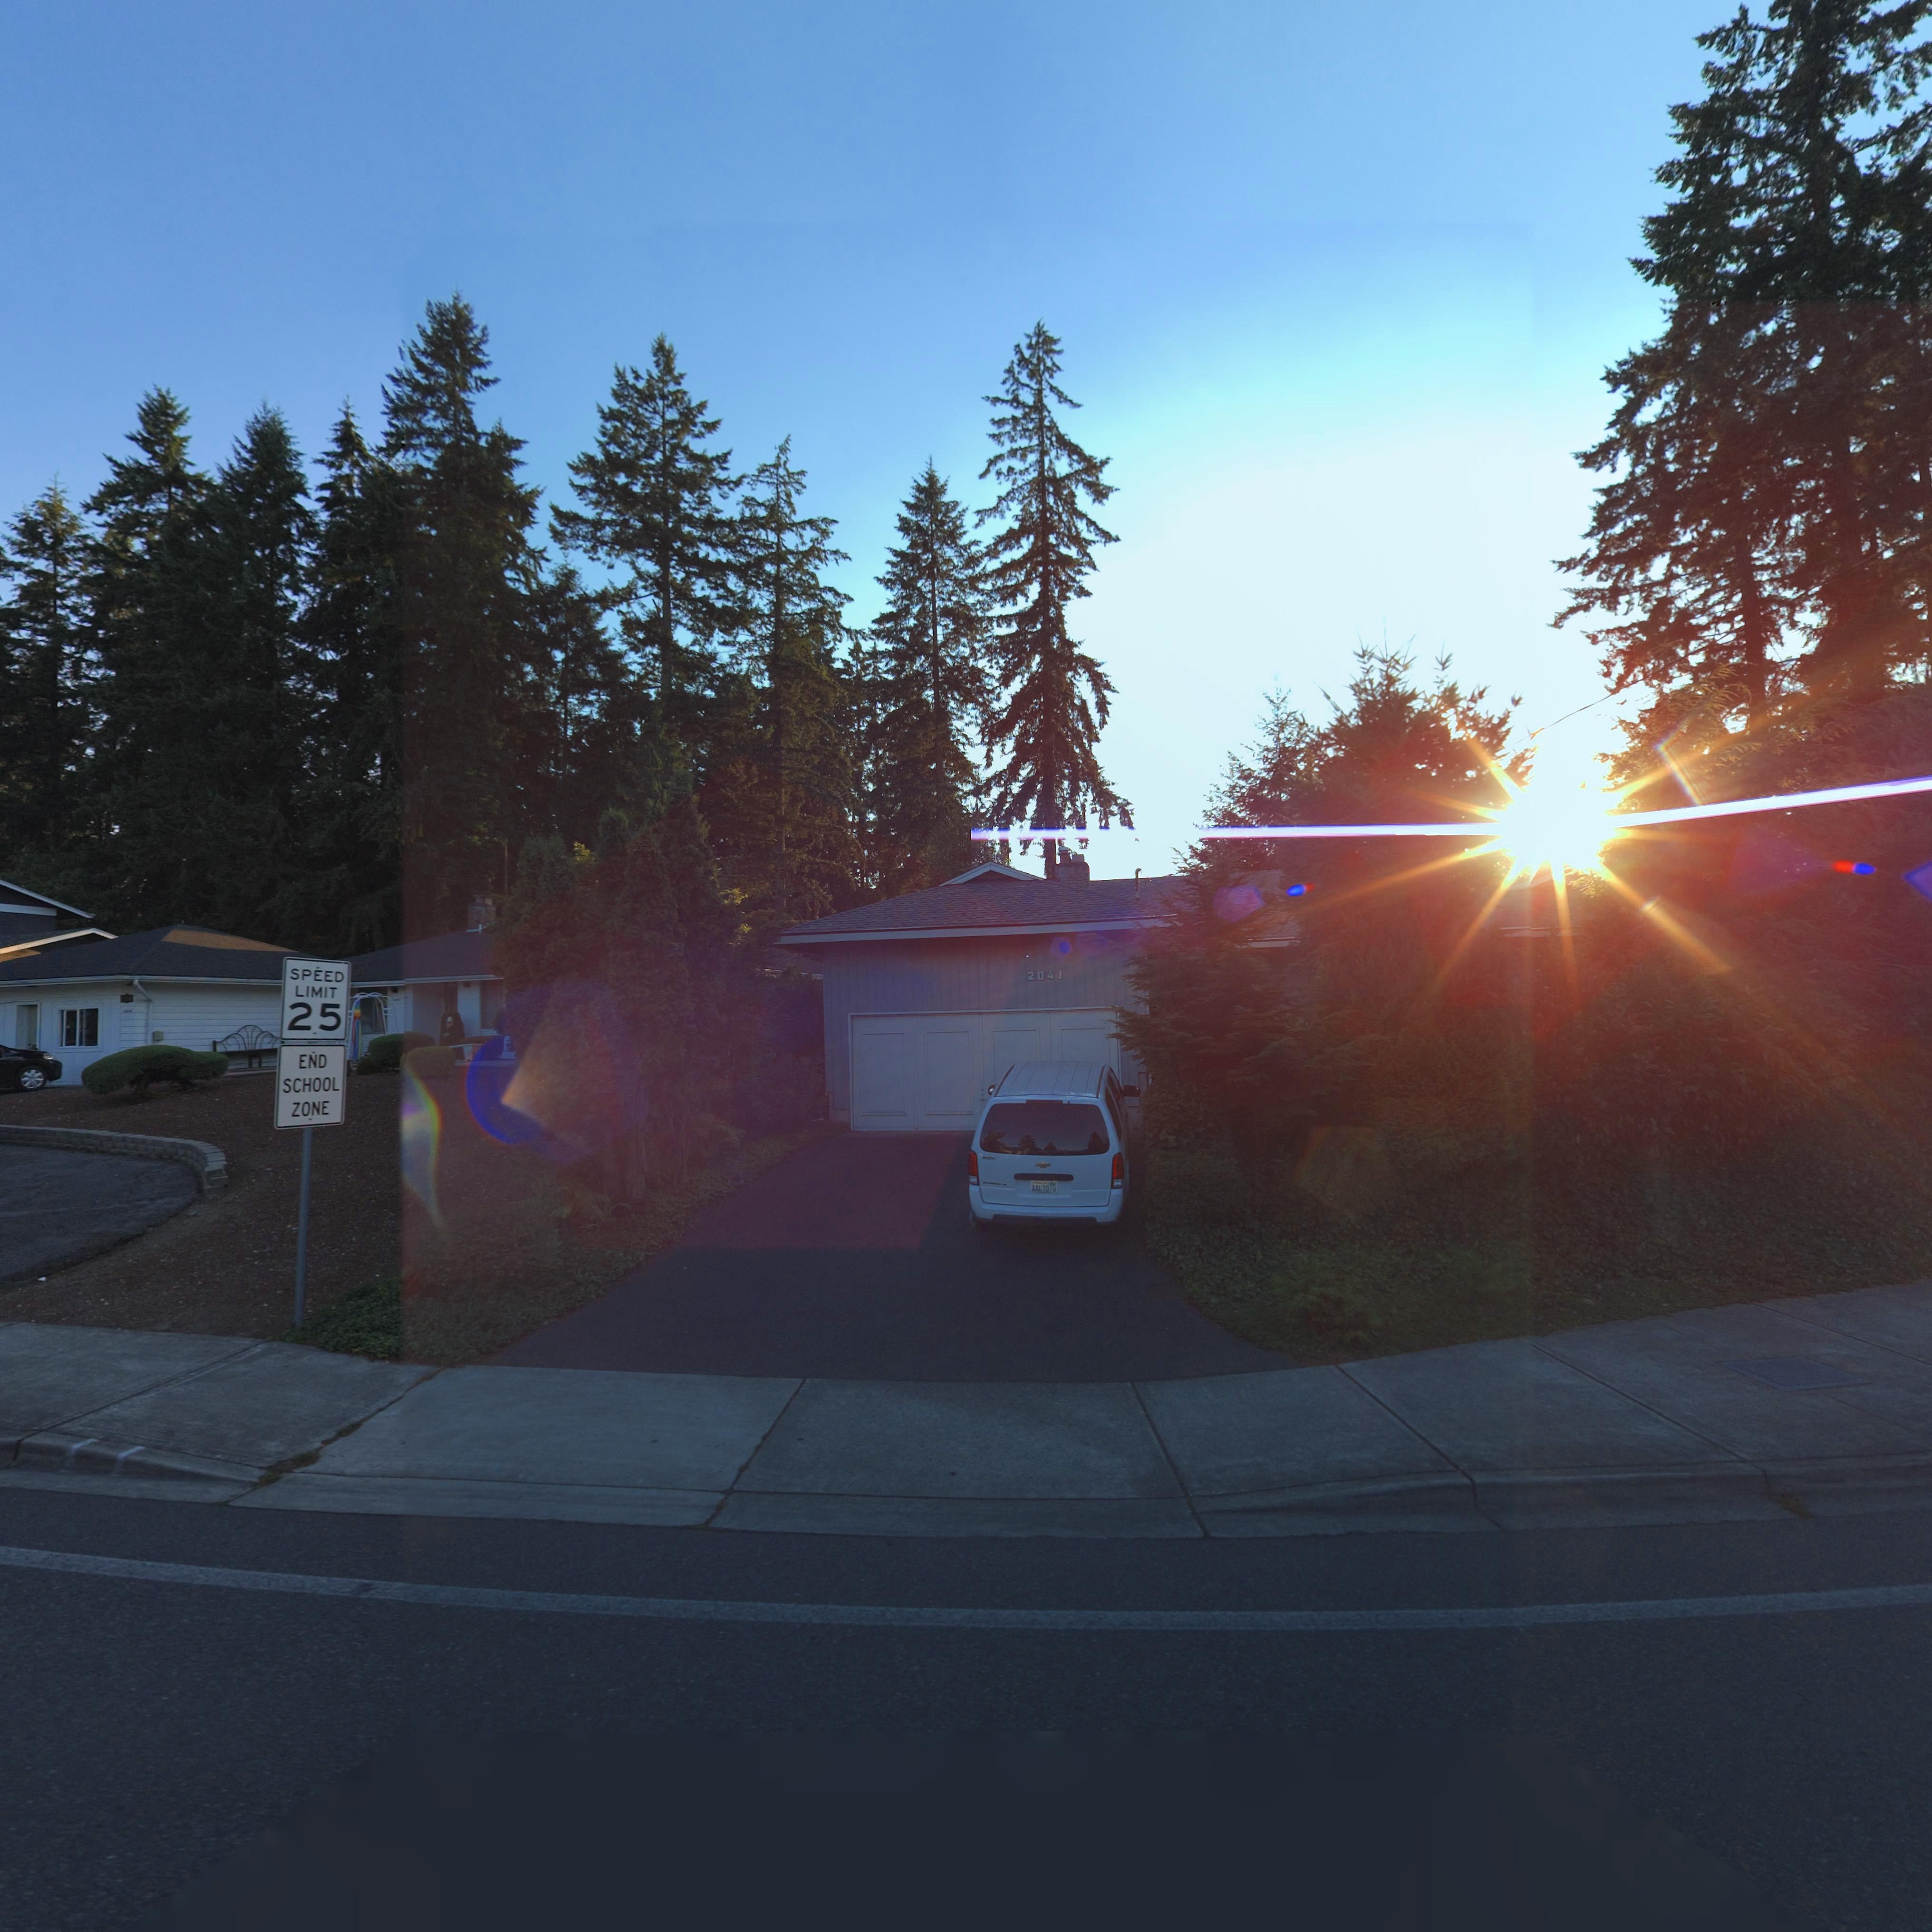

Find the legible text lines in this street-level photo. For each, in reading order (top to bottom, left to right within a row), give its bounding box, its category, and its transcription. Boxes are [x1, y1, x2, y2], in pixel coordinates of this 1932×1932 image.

[1027, 971, 1062, 979] StreetNumber: 2041